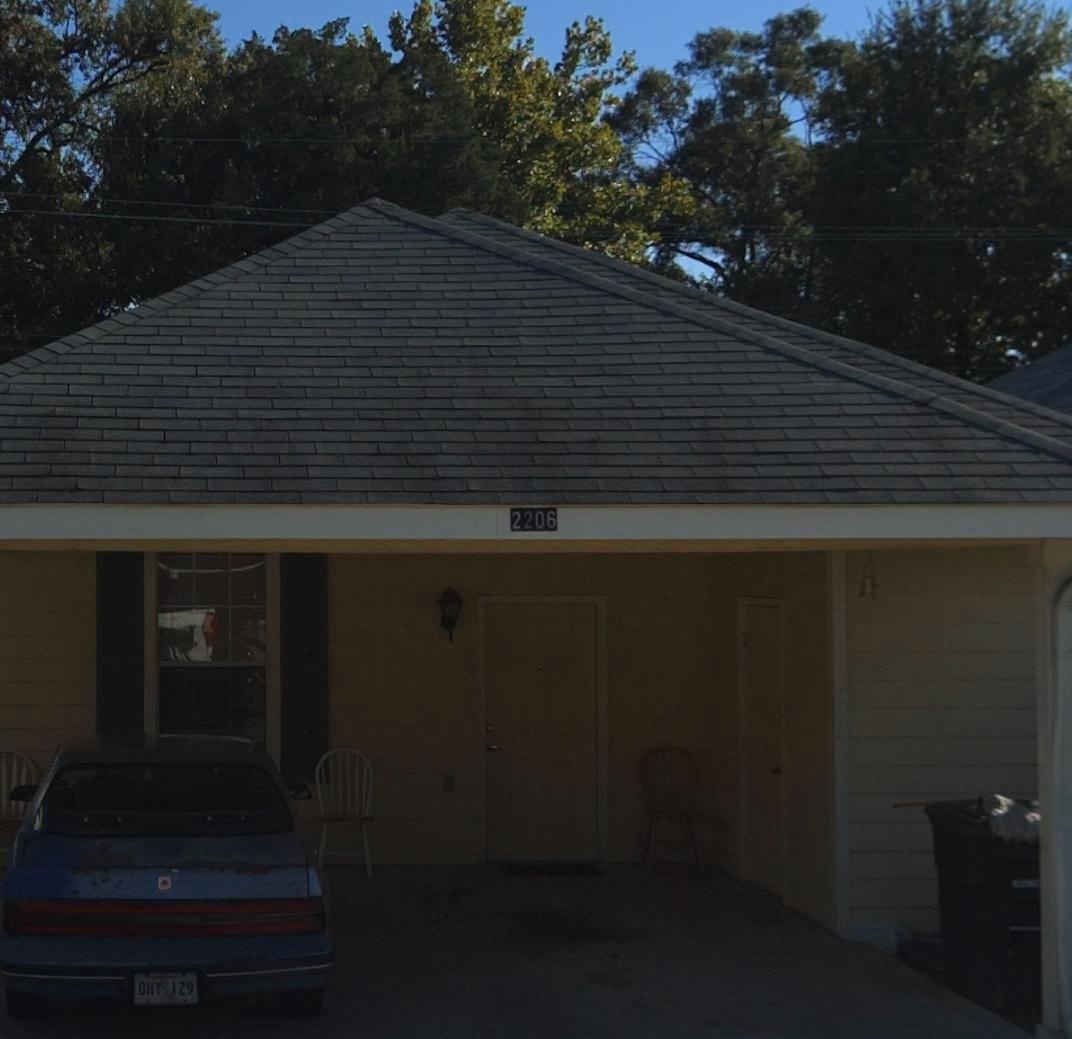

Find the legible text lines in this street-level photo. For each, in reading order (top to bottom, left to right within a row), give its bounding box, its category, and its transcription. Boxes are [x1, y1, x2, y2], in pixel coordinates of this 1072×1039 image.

[511, 509, 557, 530] StreetNumber: 2206
[137, 979, 197, 998] None: OHY 129